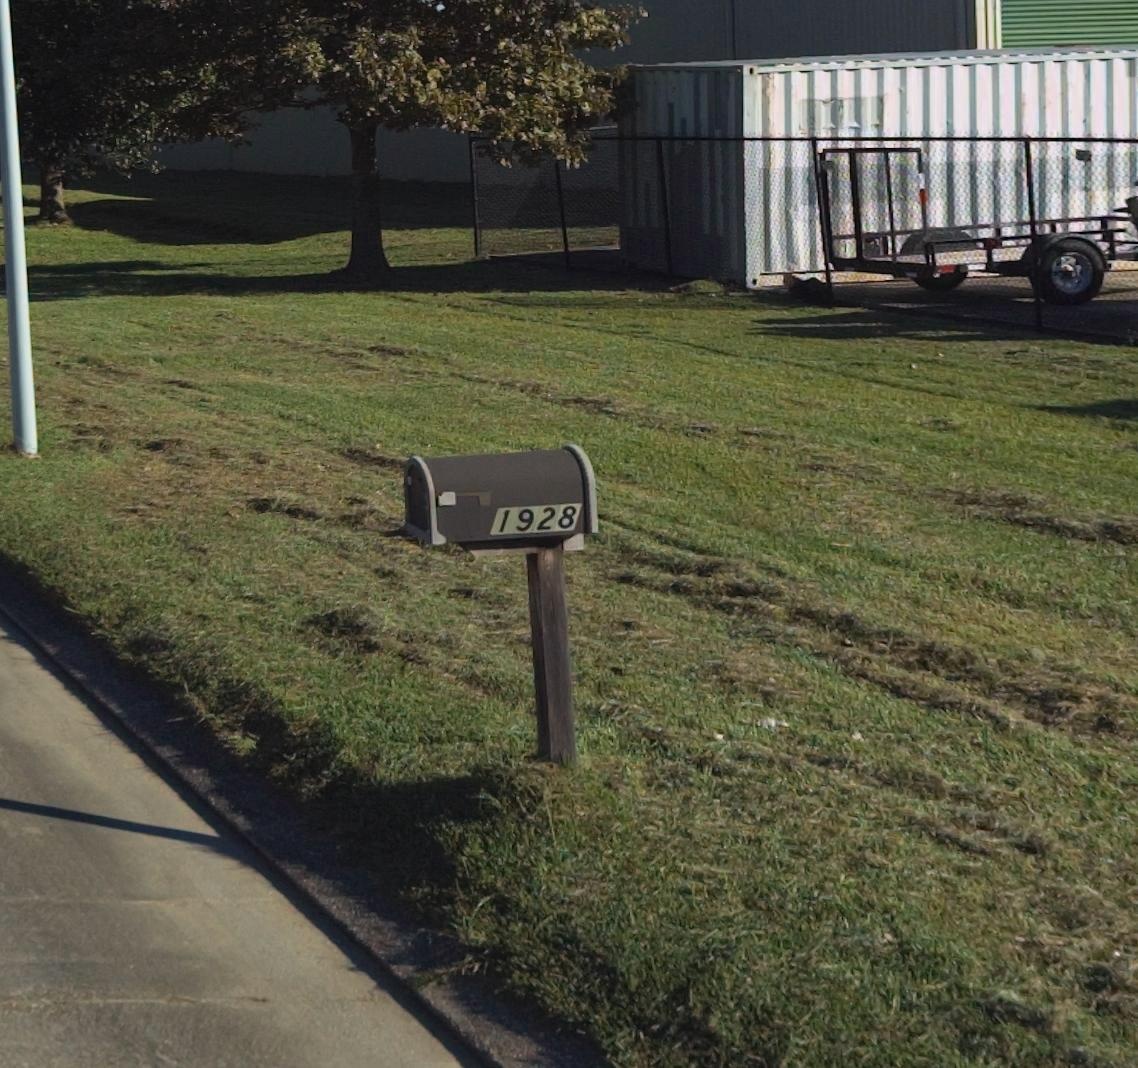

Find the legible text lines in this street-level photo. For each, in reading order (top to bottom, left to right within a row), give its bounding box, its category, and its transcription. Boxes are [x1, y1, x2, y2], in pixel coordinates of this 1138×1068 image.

[492, 502, 584, 536] StreetNumber: 1928